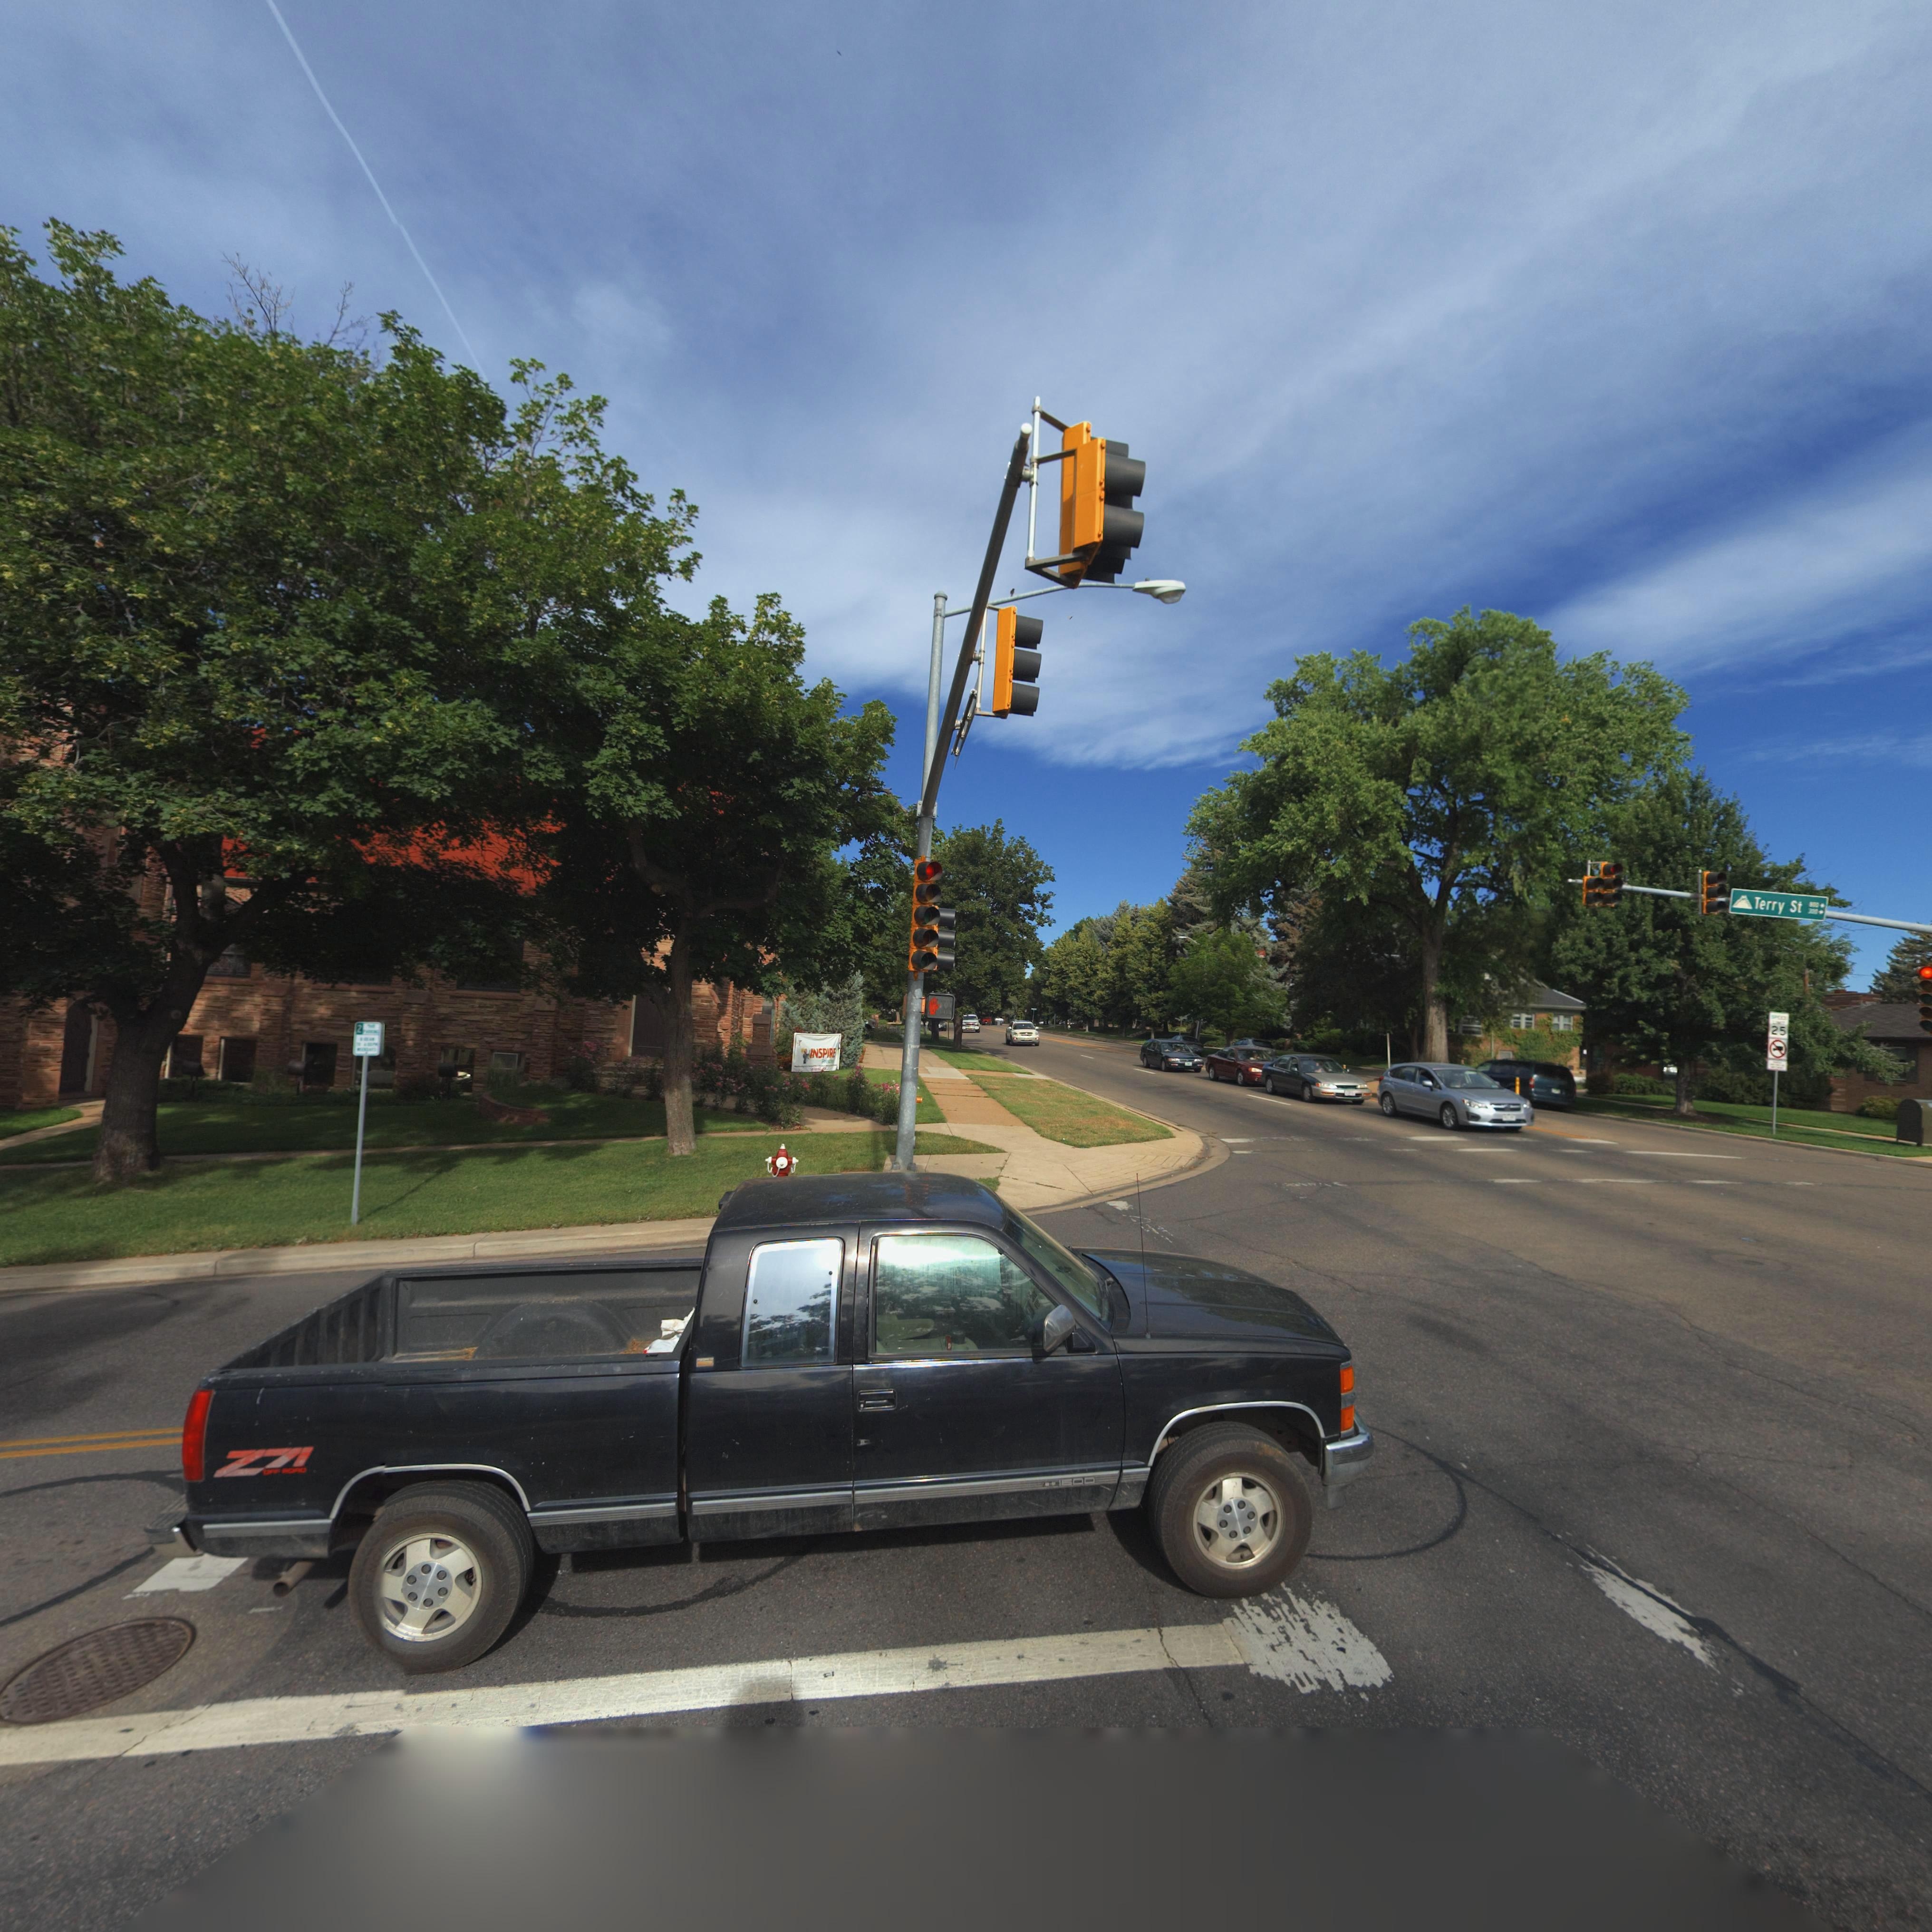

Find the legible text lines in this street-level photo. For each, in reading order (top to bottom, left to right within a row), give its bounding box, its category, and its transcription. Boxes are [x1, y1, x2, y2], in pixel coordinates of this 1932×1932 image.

[1753, 896, 1804, 915] StreetName: Terry St
[1808, 901, 1820, 908] StreetNumberRange: *00
[1807, 908, 1825, 914] StreetNumberRange: *00->
[809, 1047, 836, 1059] BusinessName: INSPIRE
[821, 1058, 835, 1063] BusinessName: Pr*scho*l